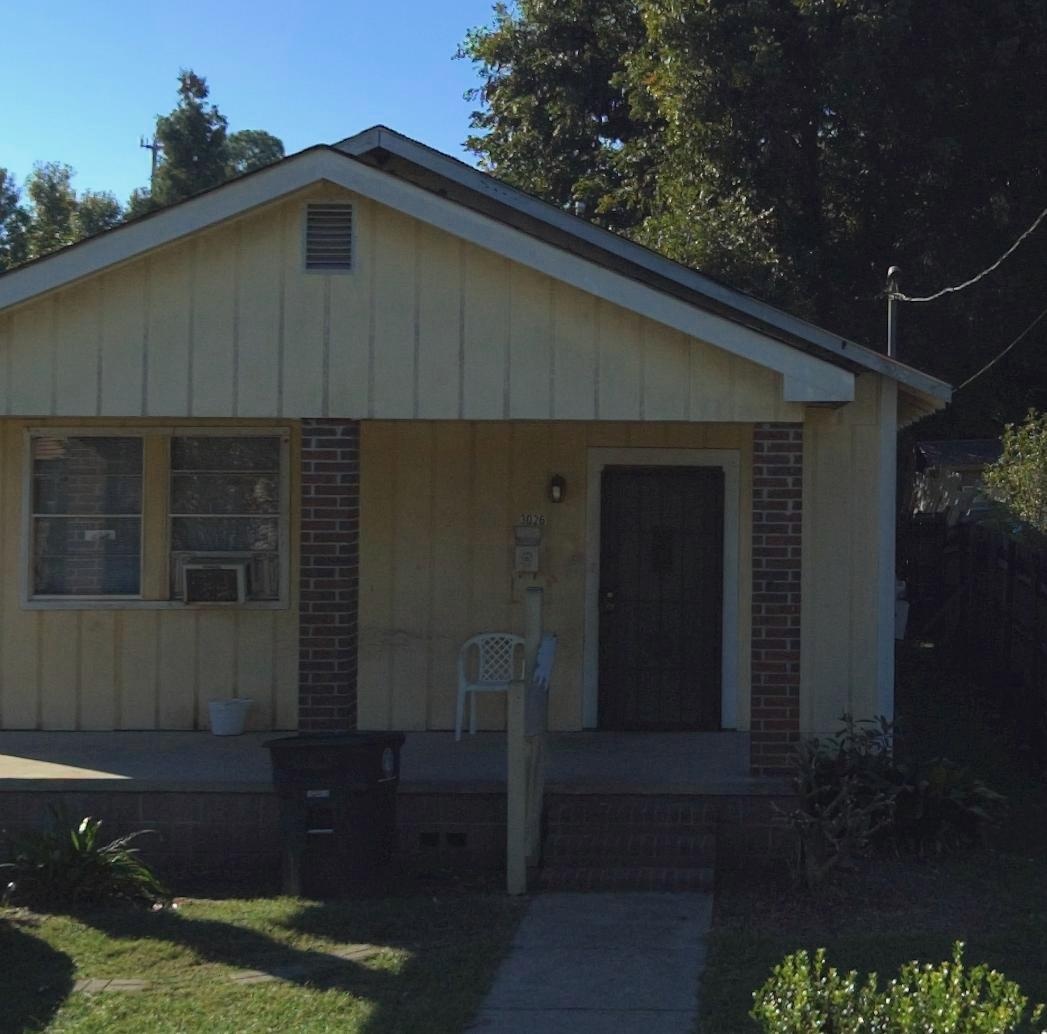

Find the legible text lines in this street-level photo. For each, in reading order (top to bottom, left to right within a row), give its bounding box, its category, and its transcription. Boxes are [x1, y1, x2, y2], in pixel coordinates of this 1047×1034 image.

[518, 513, 547, 527] StreetNumber: 3026